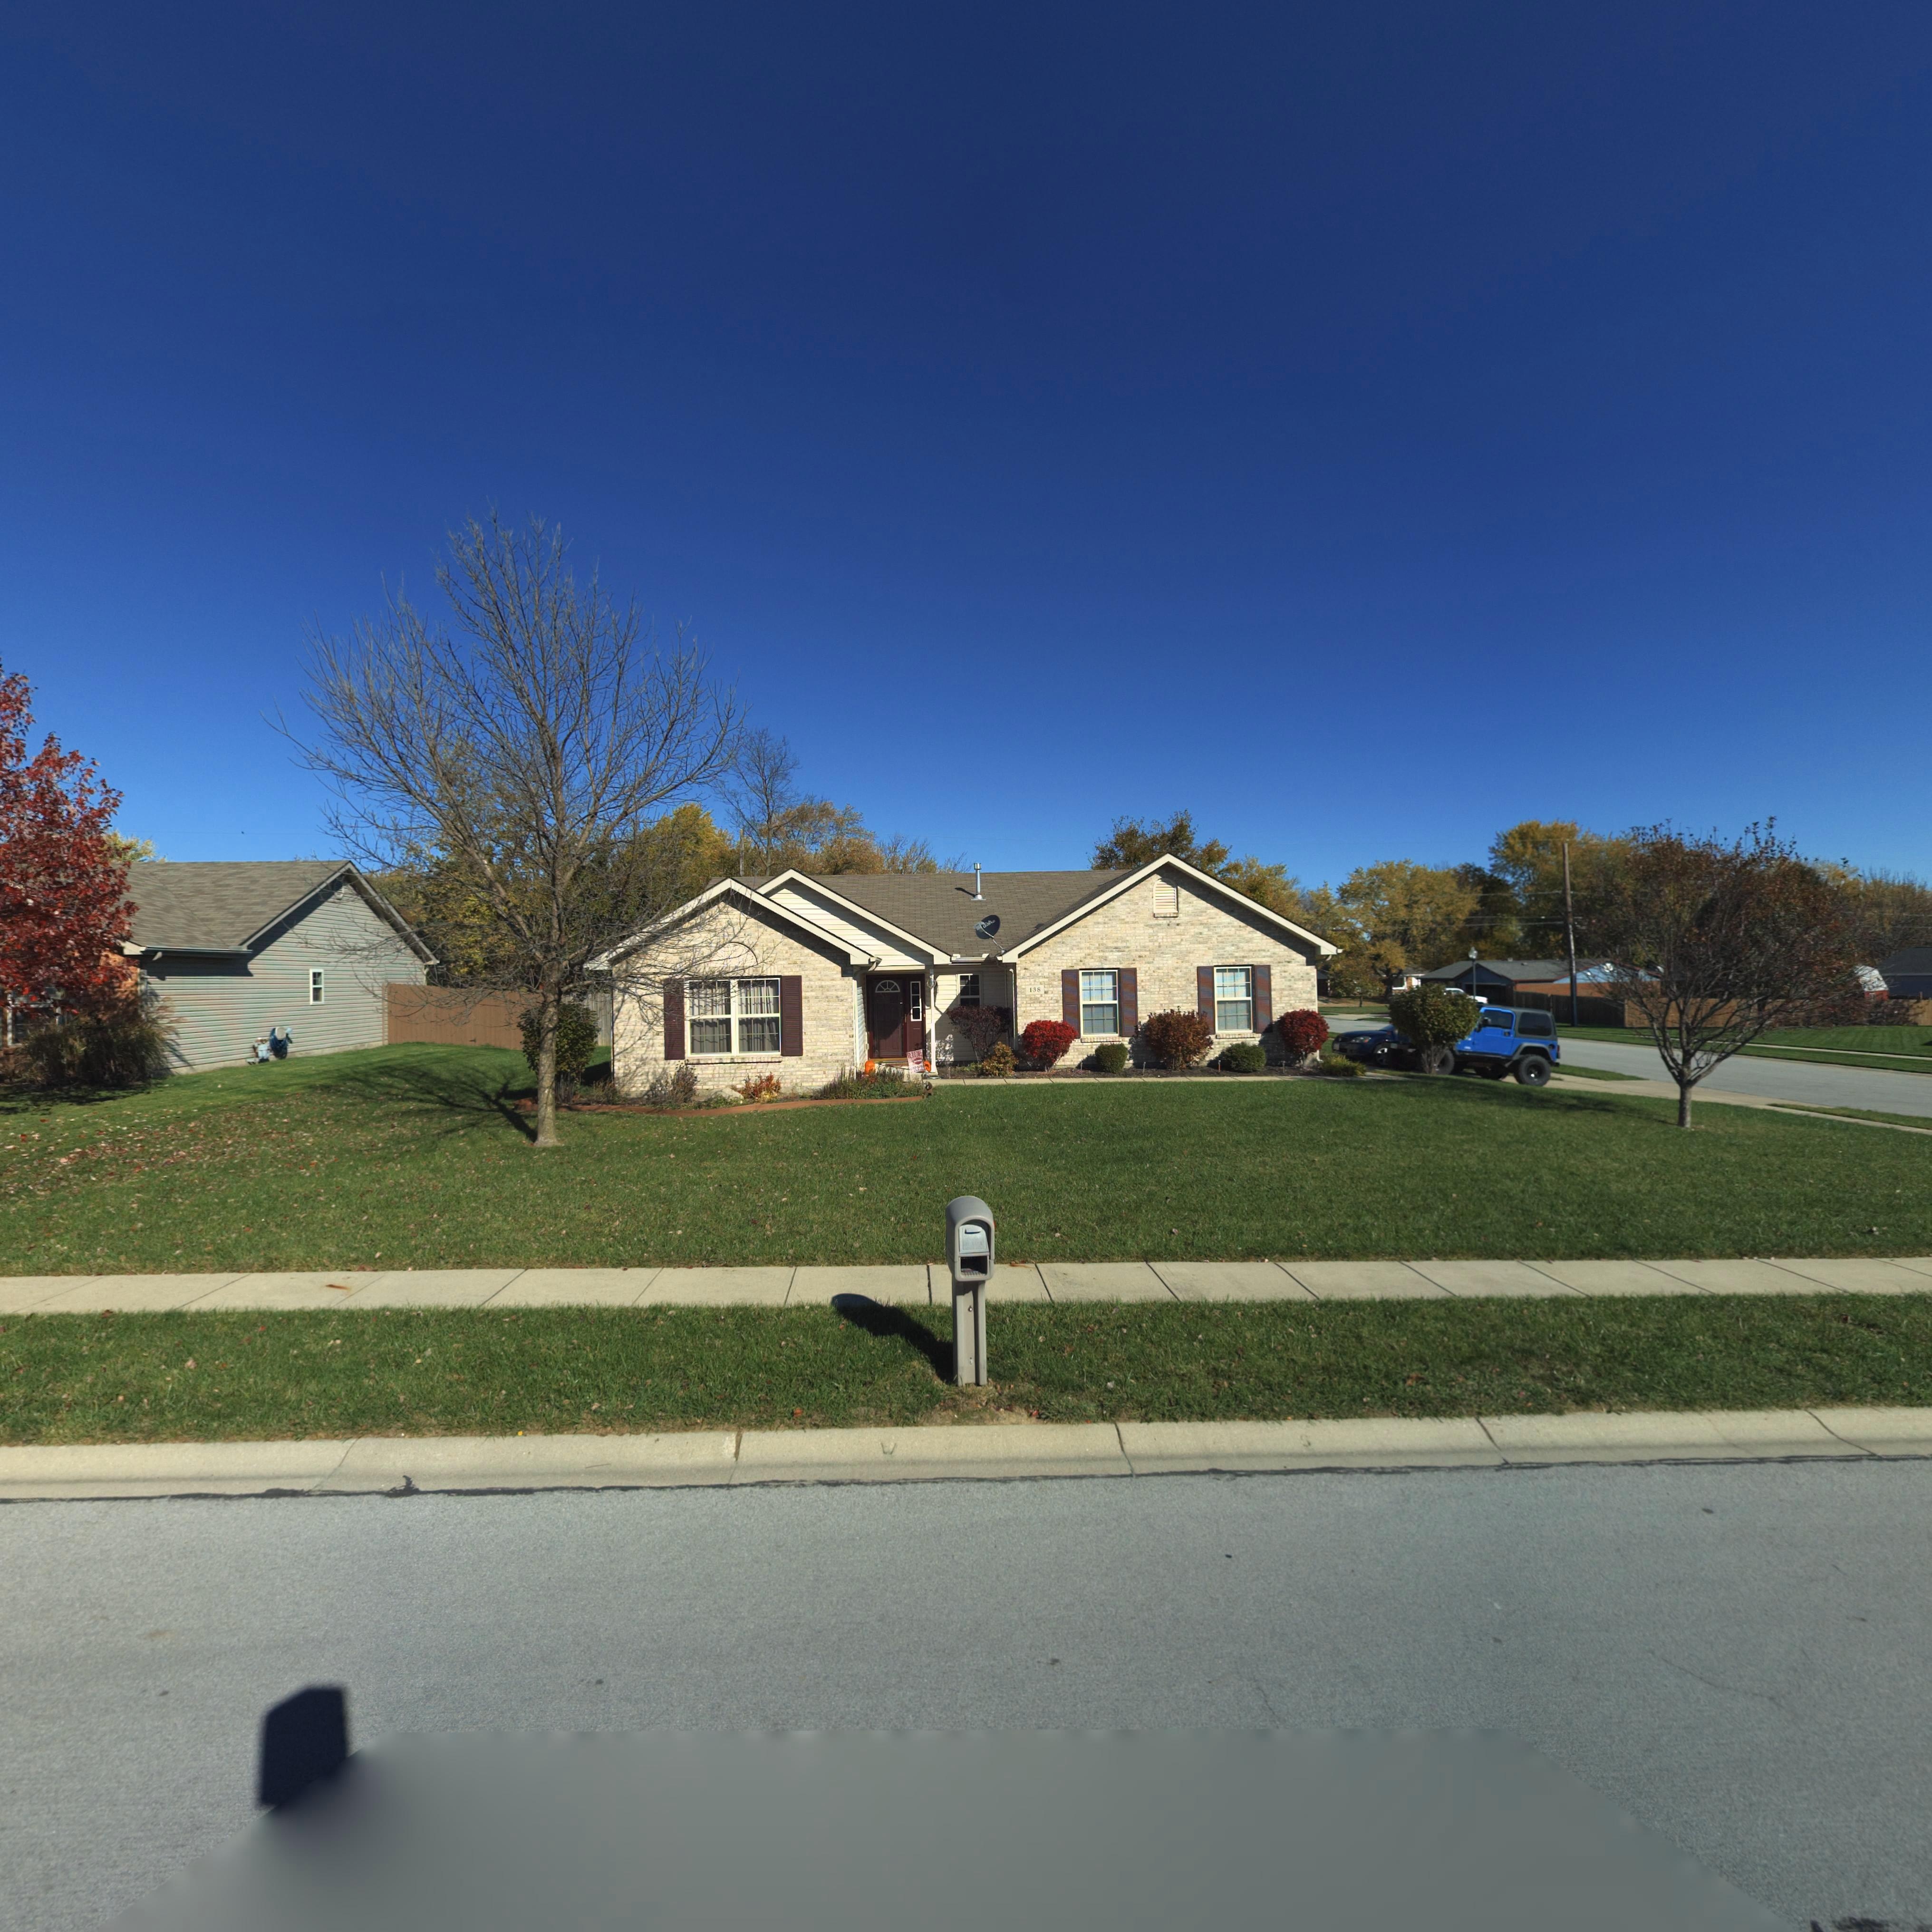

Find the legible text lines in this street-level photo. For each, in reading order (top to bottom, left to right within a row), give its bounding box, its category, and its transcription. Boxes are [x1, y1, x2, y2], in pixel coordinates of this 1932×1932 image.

[1030, 987, 1041, 993] StreetNumber: 138